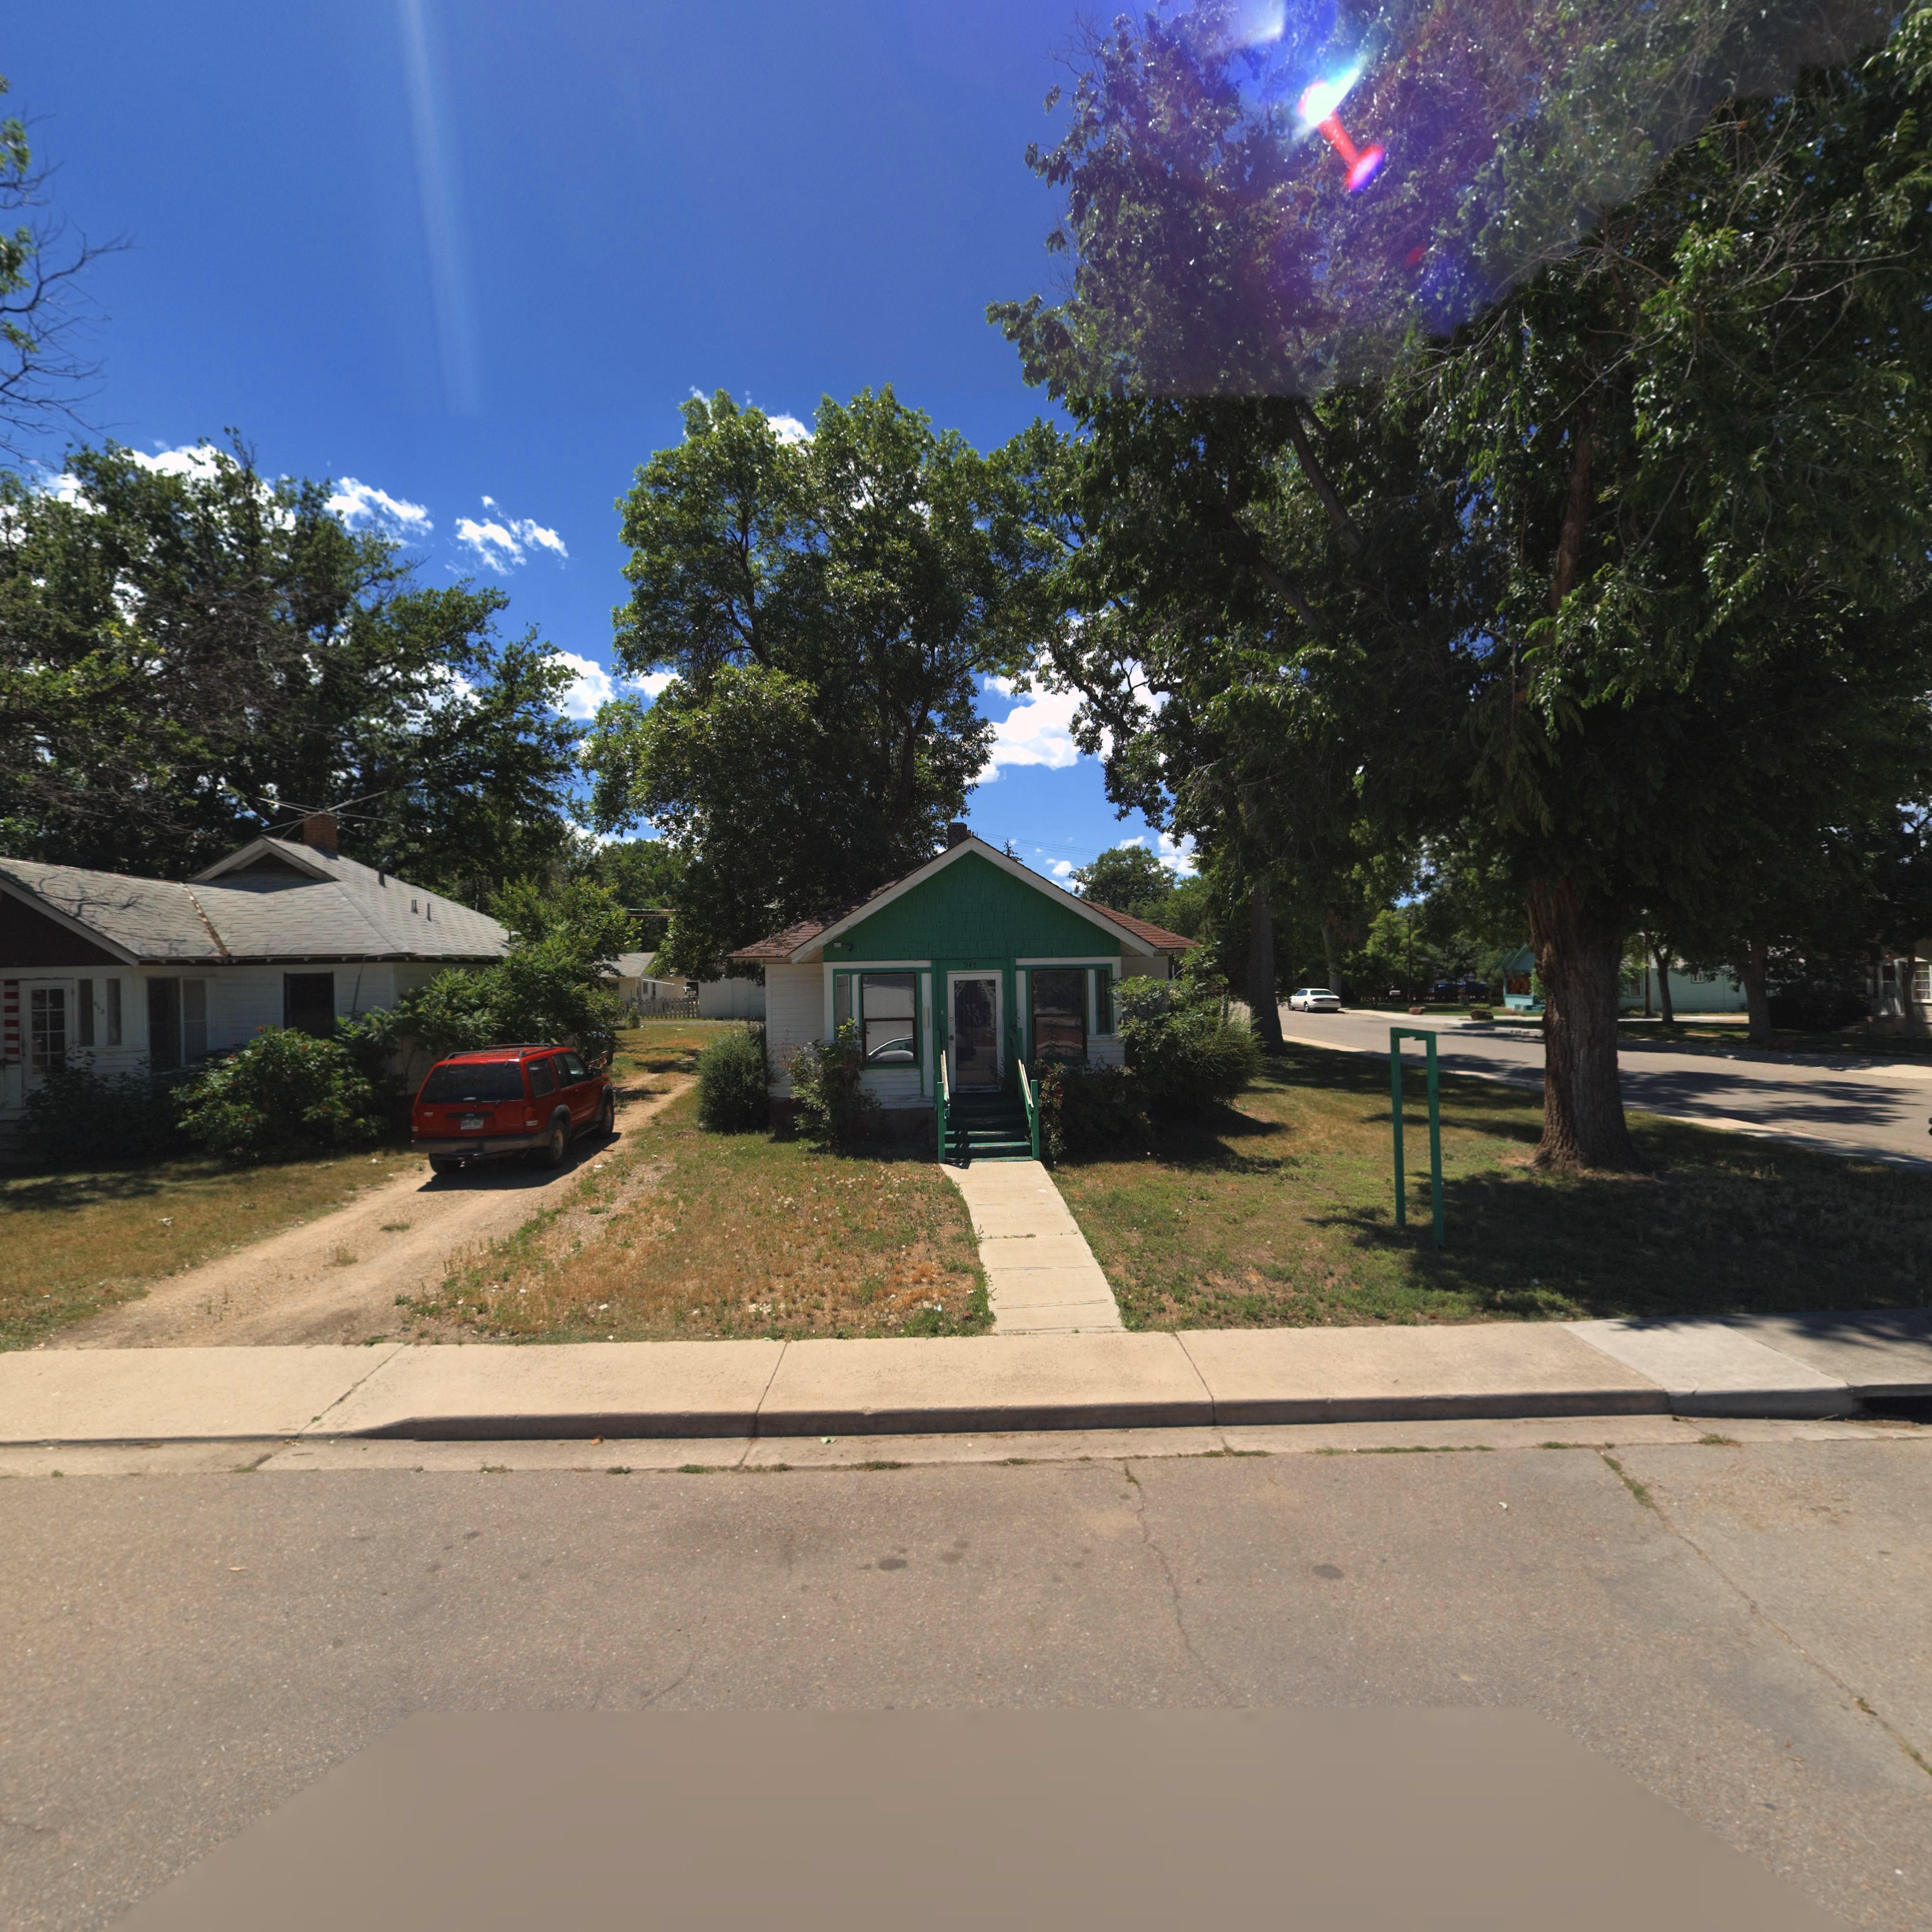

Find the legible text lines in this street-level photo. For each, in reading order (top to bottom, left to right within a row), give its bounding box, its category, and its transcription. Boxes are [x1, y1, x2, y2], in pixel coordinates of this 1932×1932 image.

[964, 961, 976, 968] StreetNumber: 945
[93, 1000, 106, 1014] StreetNumber: 943